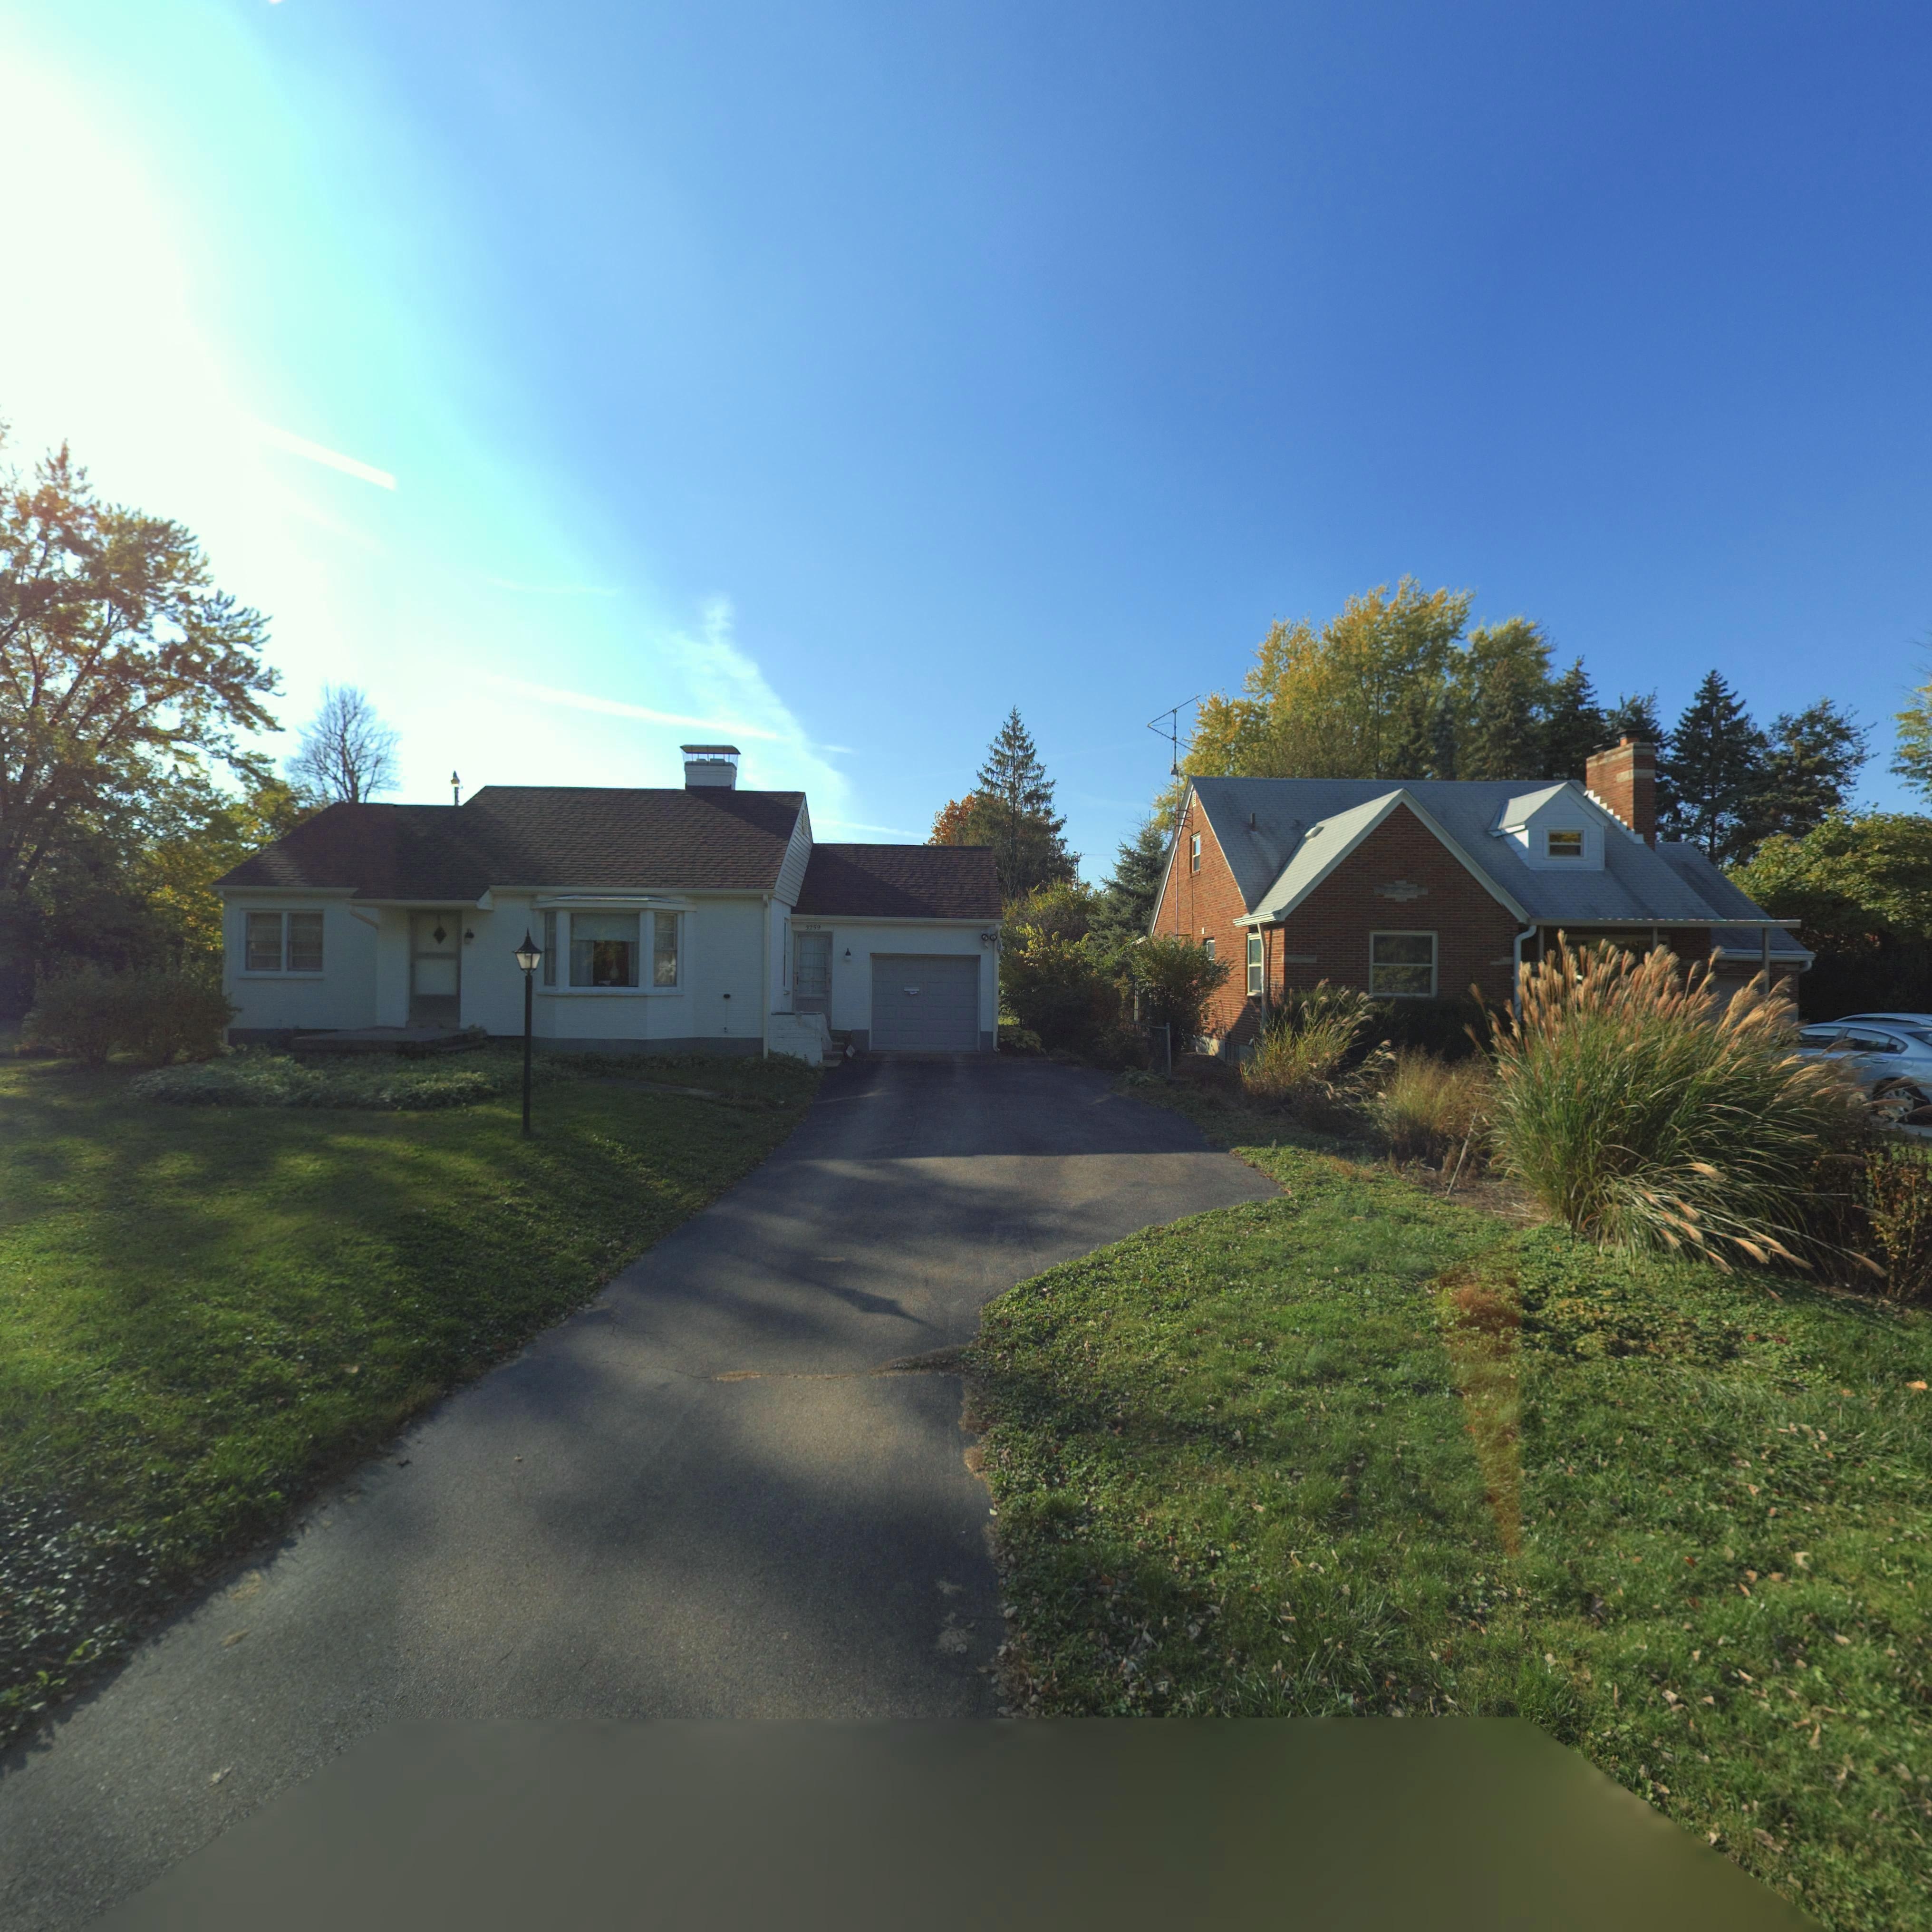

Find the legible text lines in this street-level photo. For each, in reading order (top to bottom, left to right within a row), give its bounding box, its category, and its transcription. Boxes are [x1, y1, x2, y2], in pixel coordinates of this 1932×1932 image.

[804, 924, 821, 930] StreetNumber: 3259